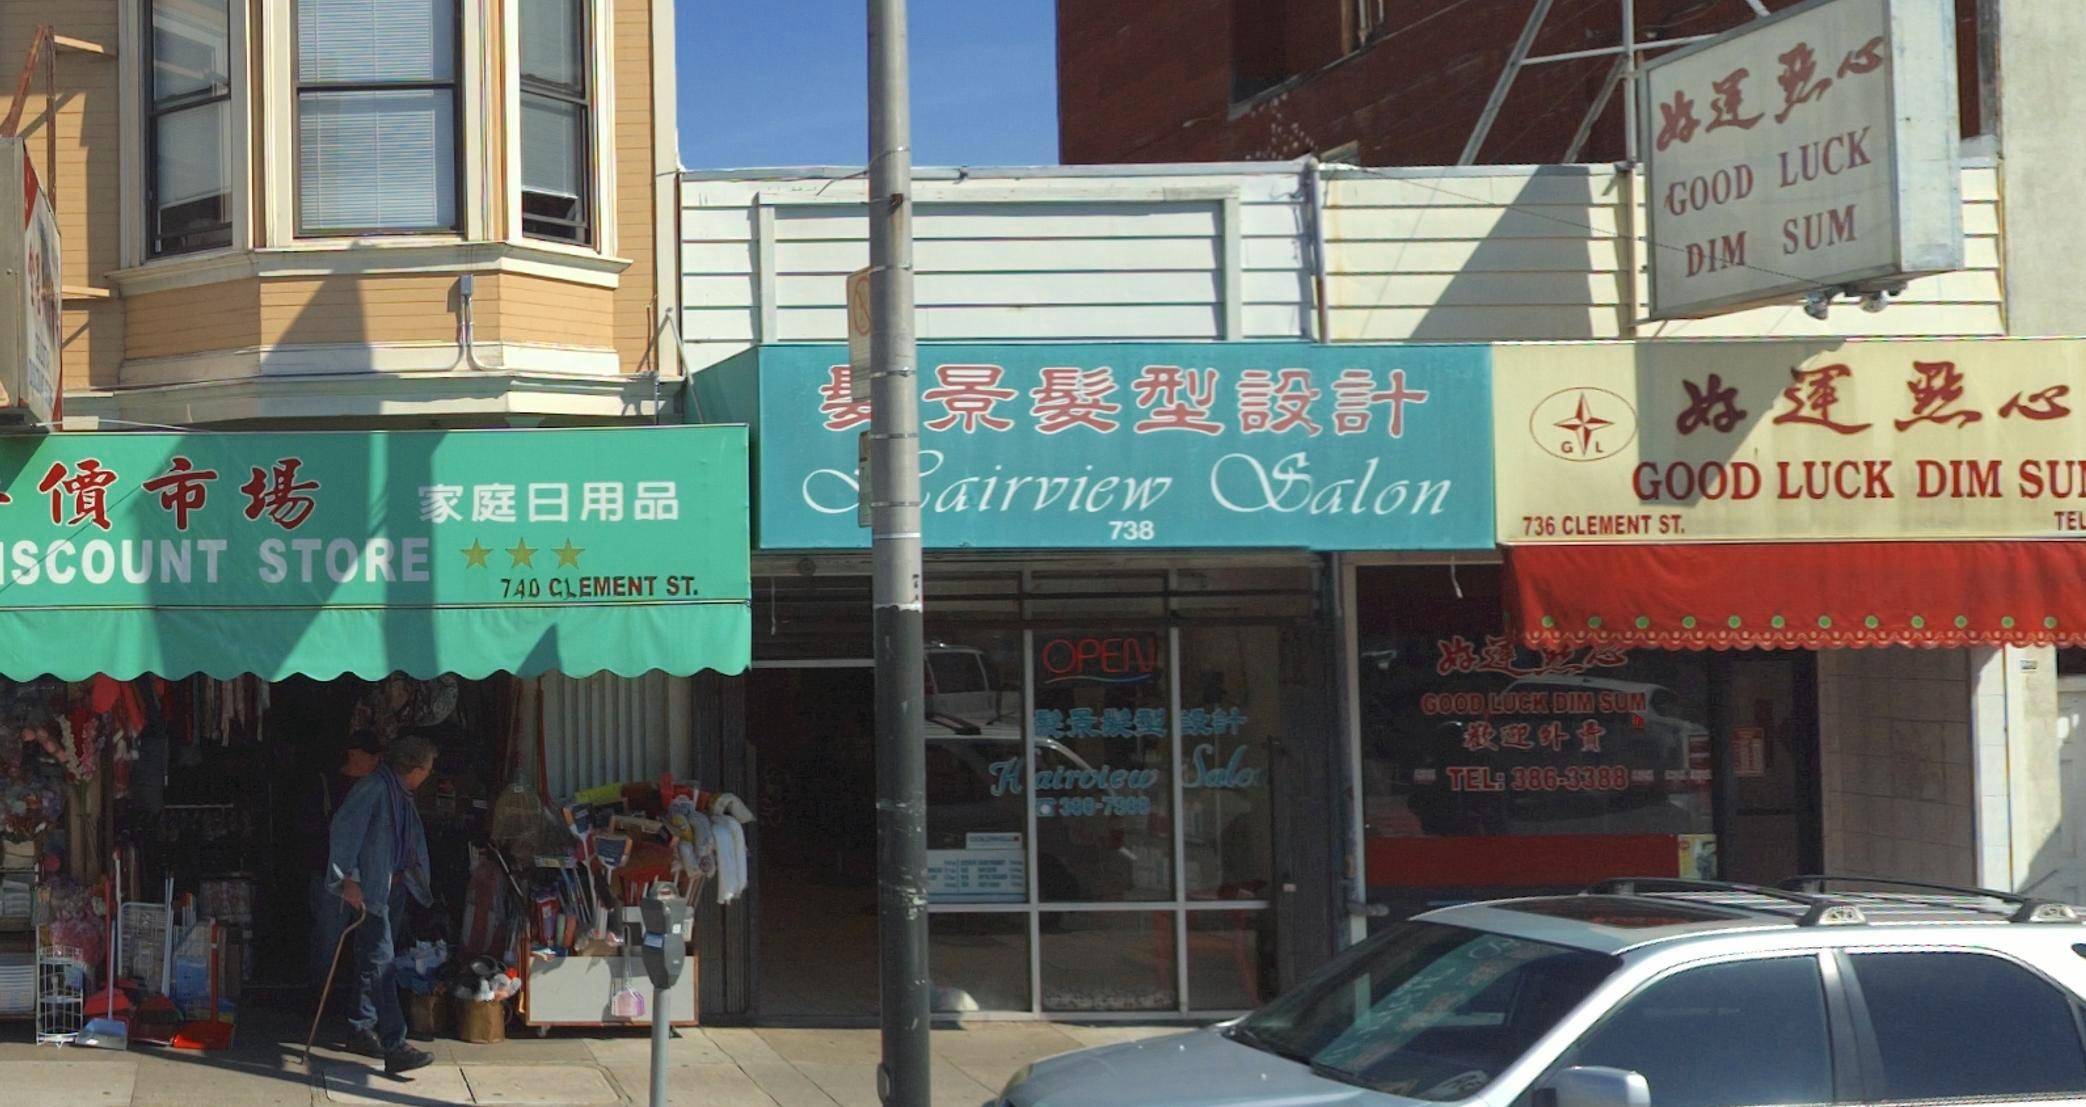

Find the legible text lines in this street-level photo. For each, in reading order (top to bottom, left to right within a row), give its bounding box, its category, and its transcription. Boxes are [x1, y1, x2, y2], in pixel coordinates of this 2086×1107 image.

[1662, 118, 1878, 223] BusinessName: GOOD LUCK
[1682, 198, 1864, 282] BusinessName: DIM SUM
[929, 450, 1453, 516] BusinessName: airview Salon
[1630, 458, 2080, 502] BusinessName: GOOD LUCK DIM SU
[1107, 518, 1156, 544] StreetNumber: 738
[1520, 512, 1556, 538] StreetNumber: 736
[1559, 512, 1685, 536] StreetName: CLEMENT ST.
[2050, 508, 2086, 531] None: TEL
[8, 535, 432, 586] BusinessName: SCOUNT STORE
[500, 575, 541, 600] StreetNumber: 740
[546, 571, 698, 600] StreetName: CLEMENT ST.
[909, 569, 920, 588] None: 7
[1040, 635, 1155, 674] None: OPEN
[1419, 689, 1650, 716] BusinessName: GOOD LUCK DIM SUM
[984, 741, 1267, 797] BusinessName: Hairview Salon
[1443, 762, 1629, 793] None: TEL:386-3388
[1058, 794, 1150, 818] None: 386-7988